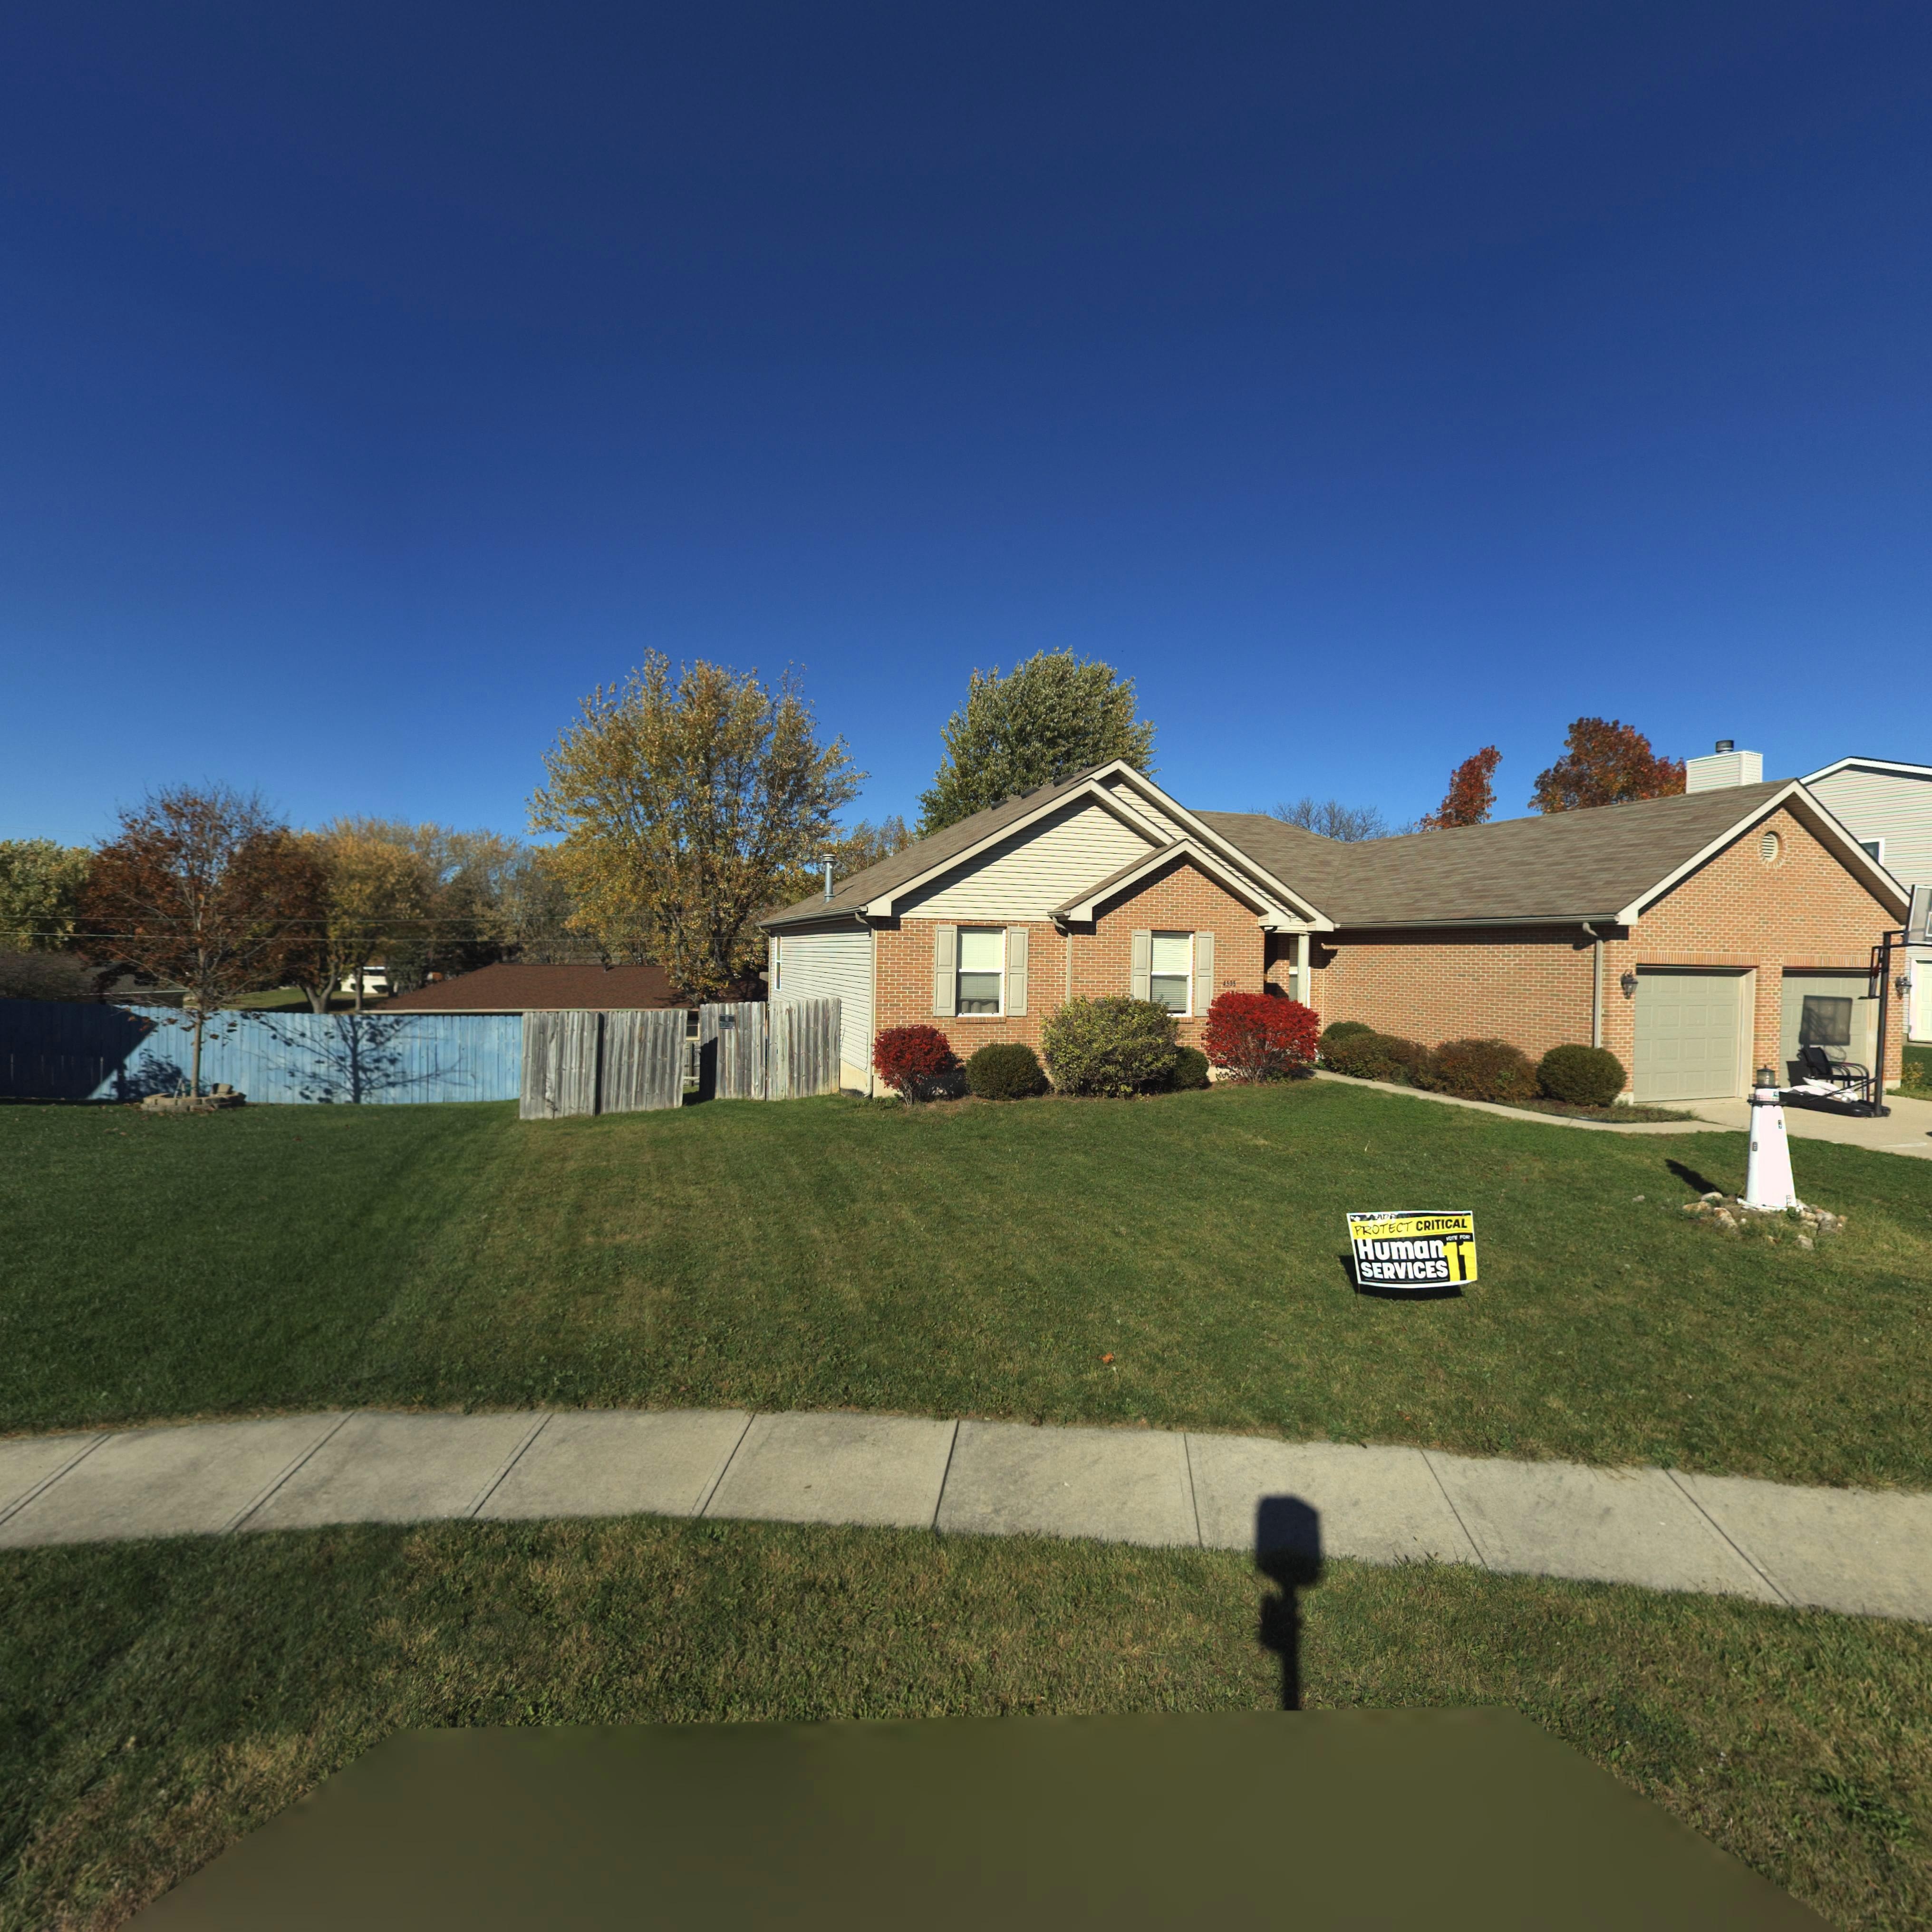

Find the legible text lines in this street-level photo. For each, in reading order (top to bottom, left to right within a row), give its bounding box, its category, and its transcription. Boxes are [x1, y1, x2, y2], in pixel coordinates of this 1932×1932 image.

[1222, 979, 1237, 988] StreetNumber: 4535
[1353, 1217, 1468, 1236] None: PROTECT CRITICAL
[1459, 1234, 1472, 1240] None: FOR
[1356, 1237, 1447, 1261] None: Human
[1359, 1259, 1449, 1280] None: SERVICES
[1440, 1241, 1478, 1283] None: 11